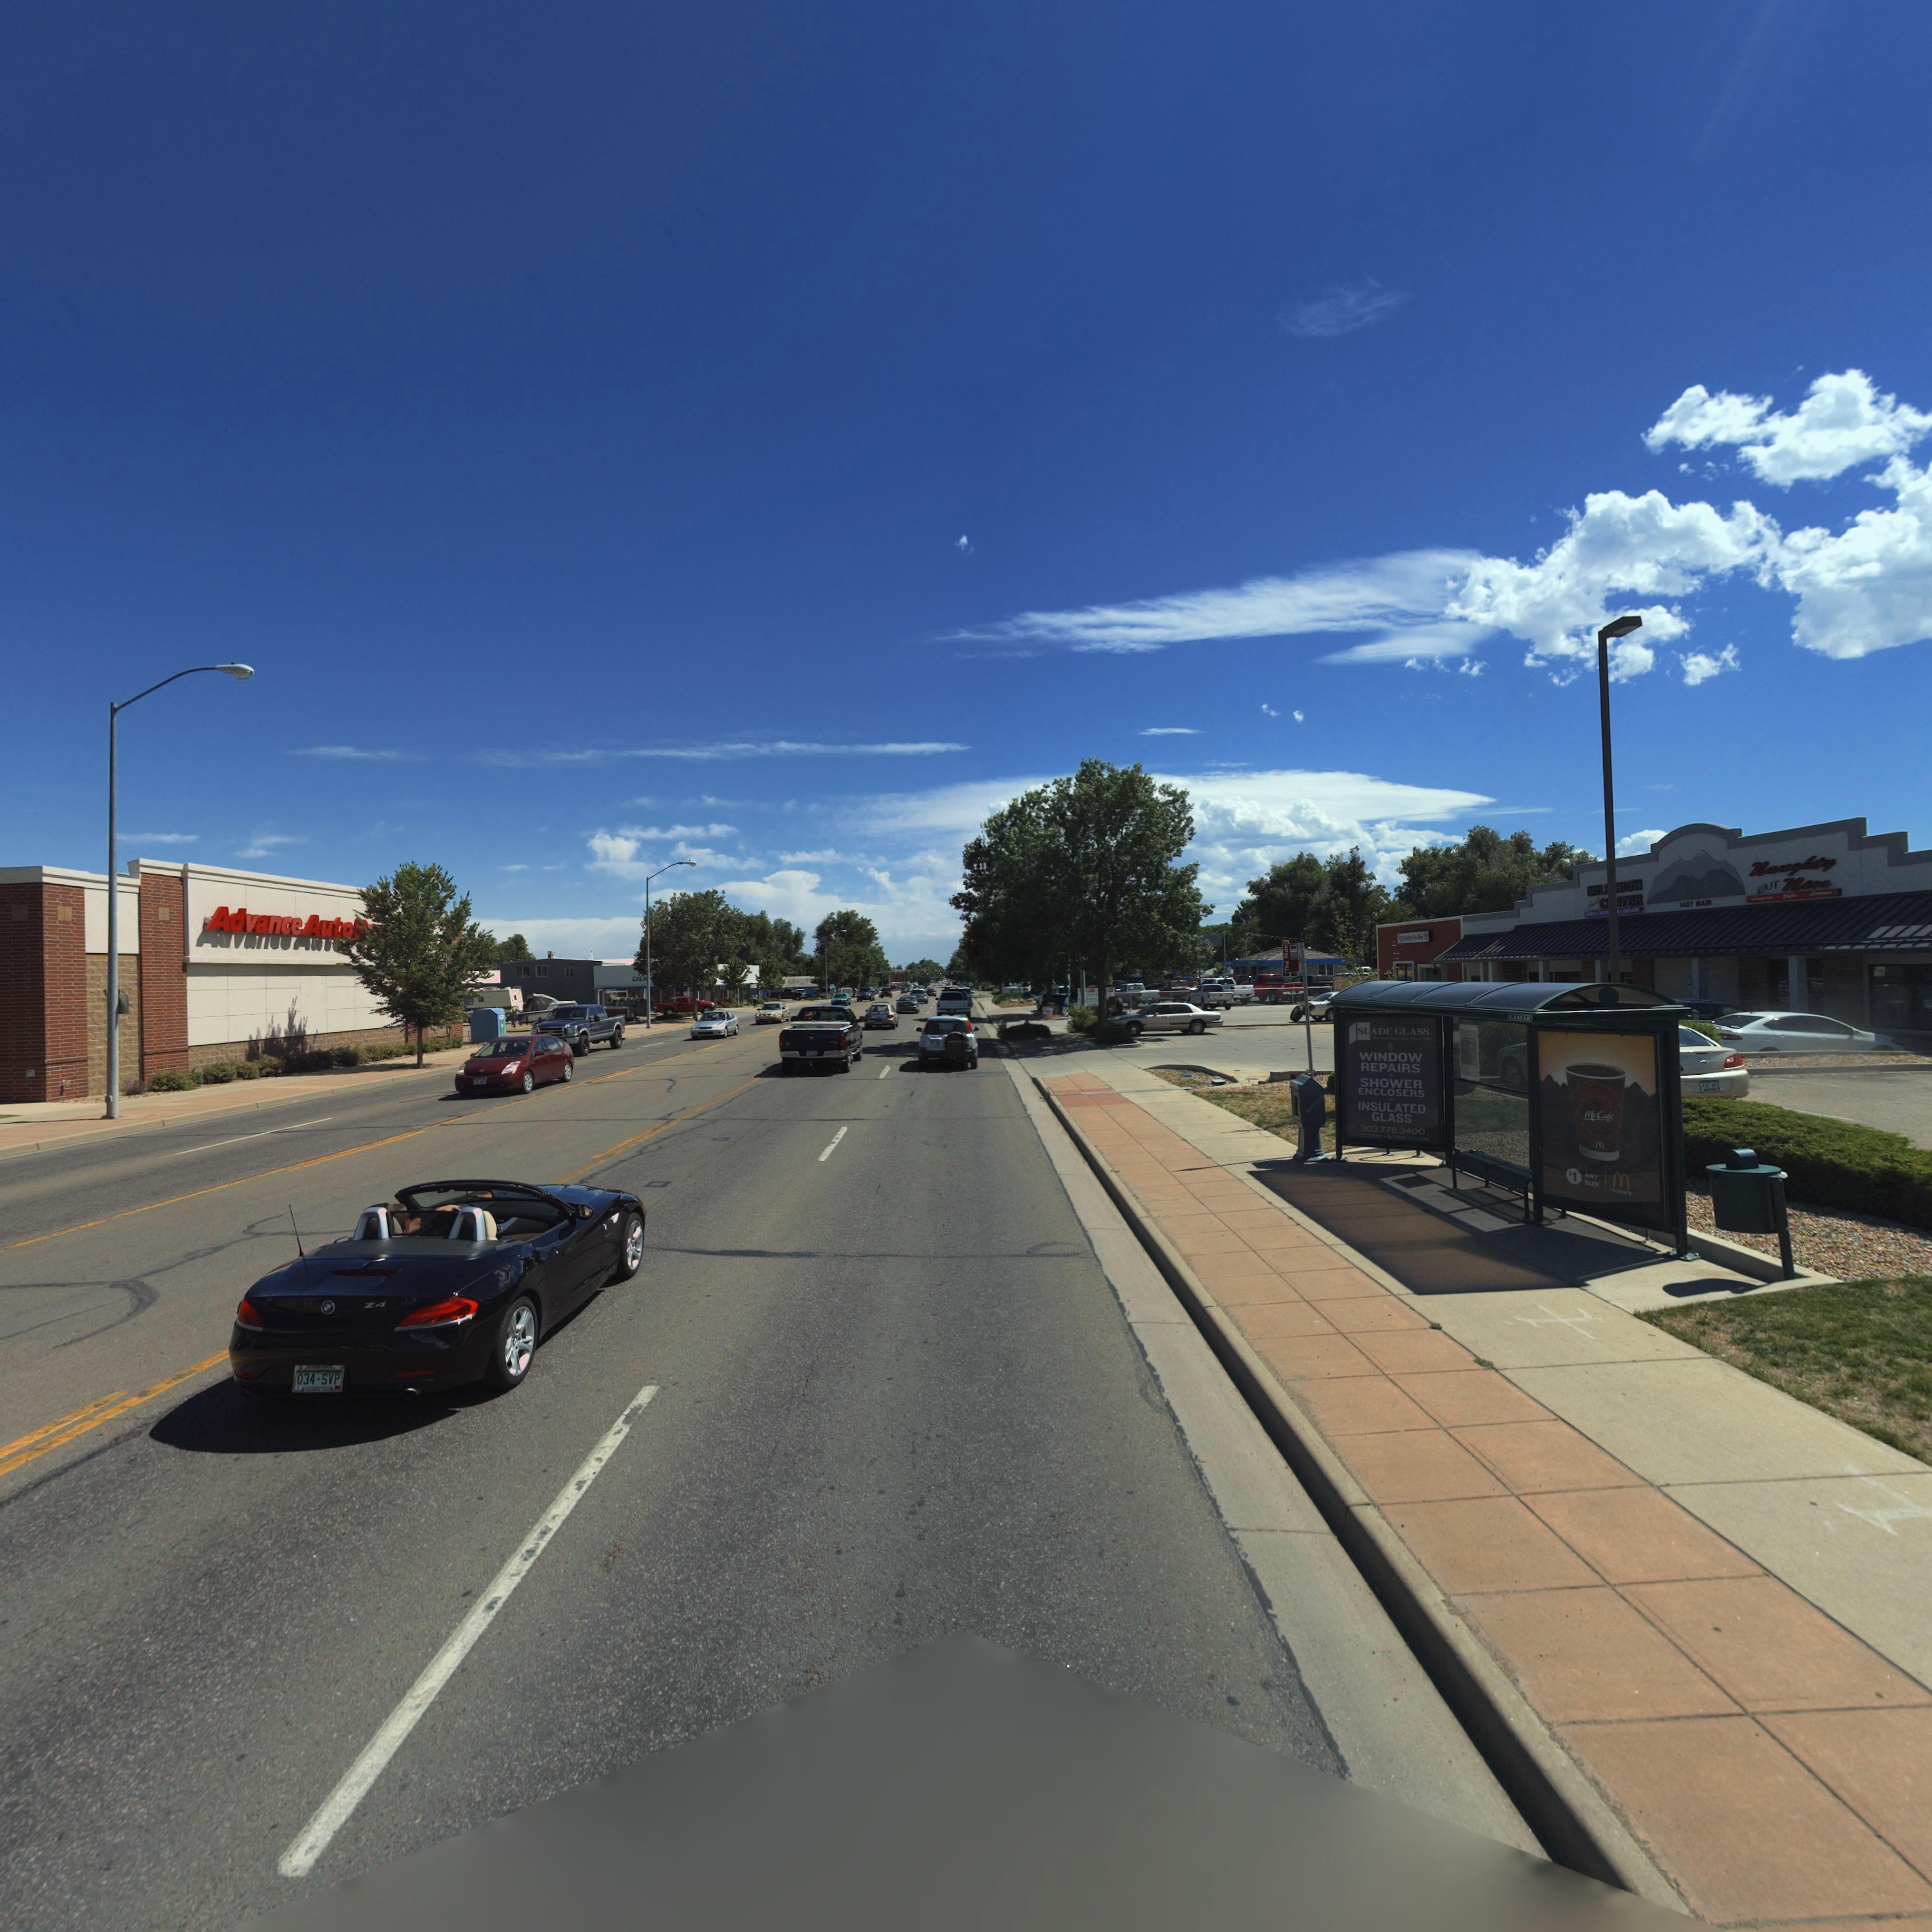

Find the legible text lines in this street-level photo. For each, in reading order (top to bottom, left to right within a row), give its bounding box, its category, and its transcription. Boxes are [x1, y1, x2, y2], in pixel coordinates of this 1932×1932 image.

[1748, 855, 1837, 877] BusinessName: Naughty
[1587, 880, 1642, 896] BusinessName: MIL* HIGH
[1757, 879, 1779, 894] BusinessName: BUT
[1781, 877, 1833, 890] BusinessName: Nice
[1599, 894, 1642, 909] BusinessName: C**TER
[1680, 901, 1693, 908] StreetNumber: 1407
[1696, 899, 1711, 906] StreetName: MAIN
[205, 906, 393, 941] BusinessName: Advance Auto Parts
[632, 976, 651, 981] BusinessName: EVEN* ******